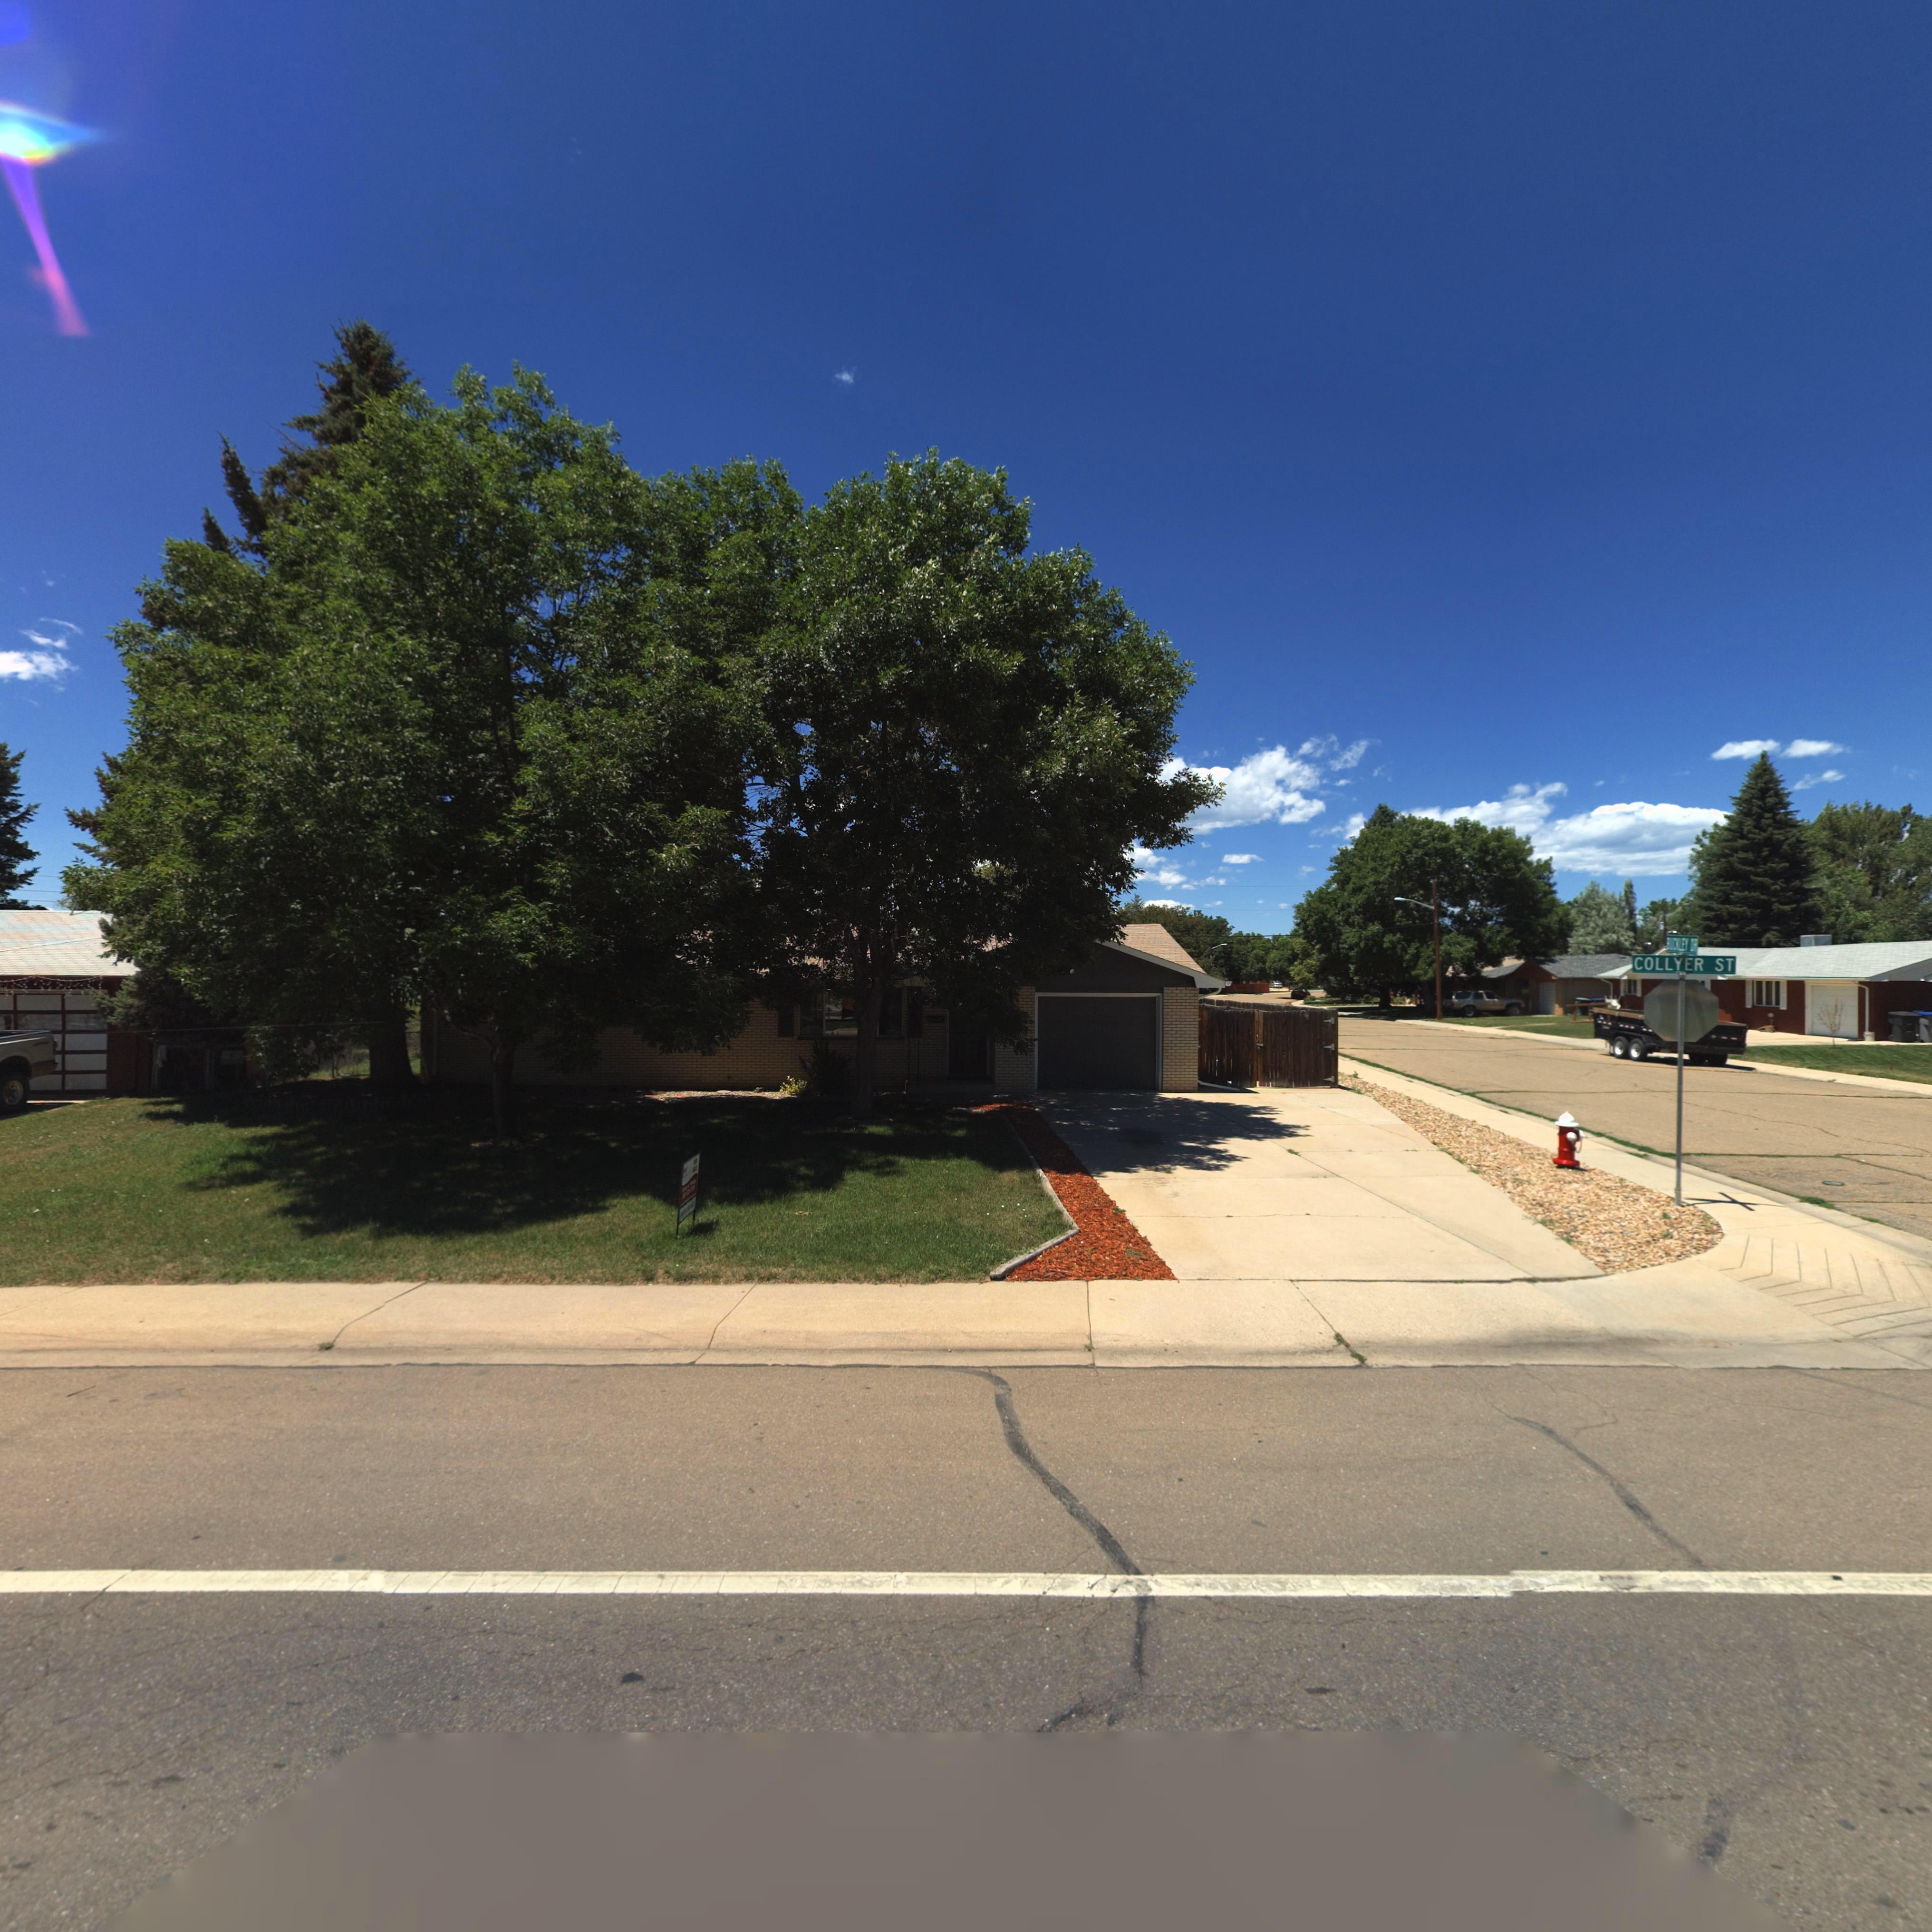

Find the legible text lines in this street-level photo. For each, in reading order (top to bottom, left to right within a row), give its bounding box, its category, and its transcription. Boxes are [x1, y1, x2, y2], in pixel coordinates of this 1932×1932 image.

[1666, 937, 1699, 953] StreetName: B*CKLEY DR
[1634, 956, 1735, 972] StreetName: COLLYER ST